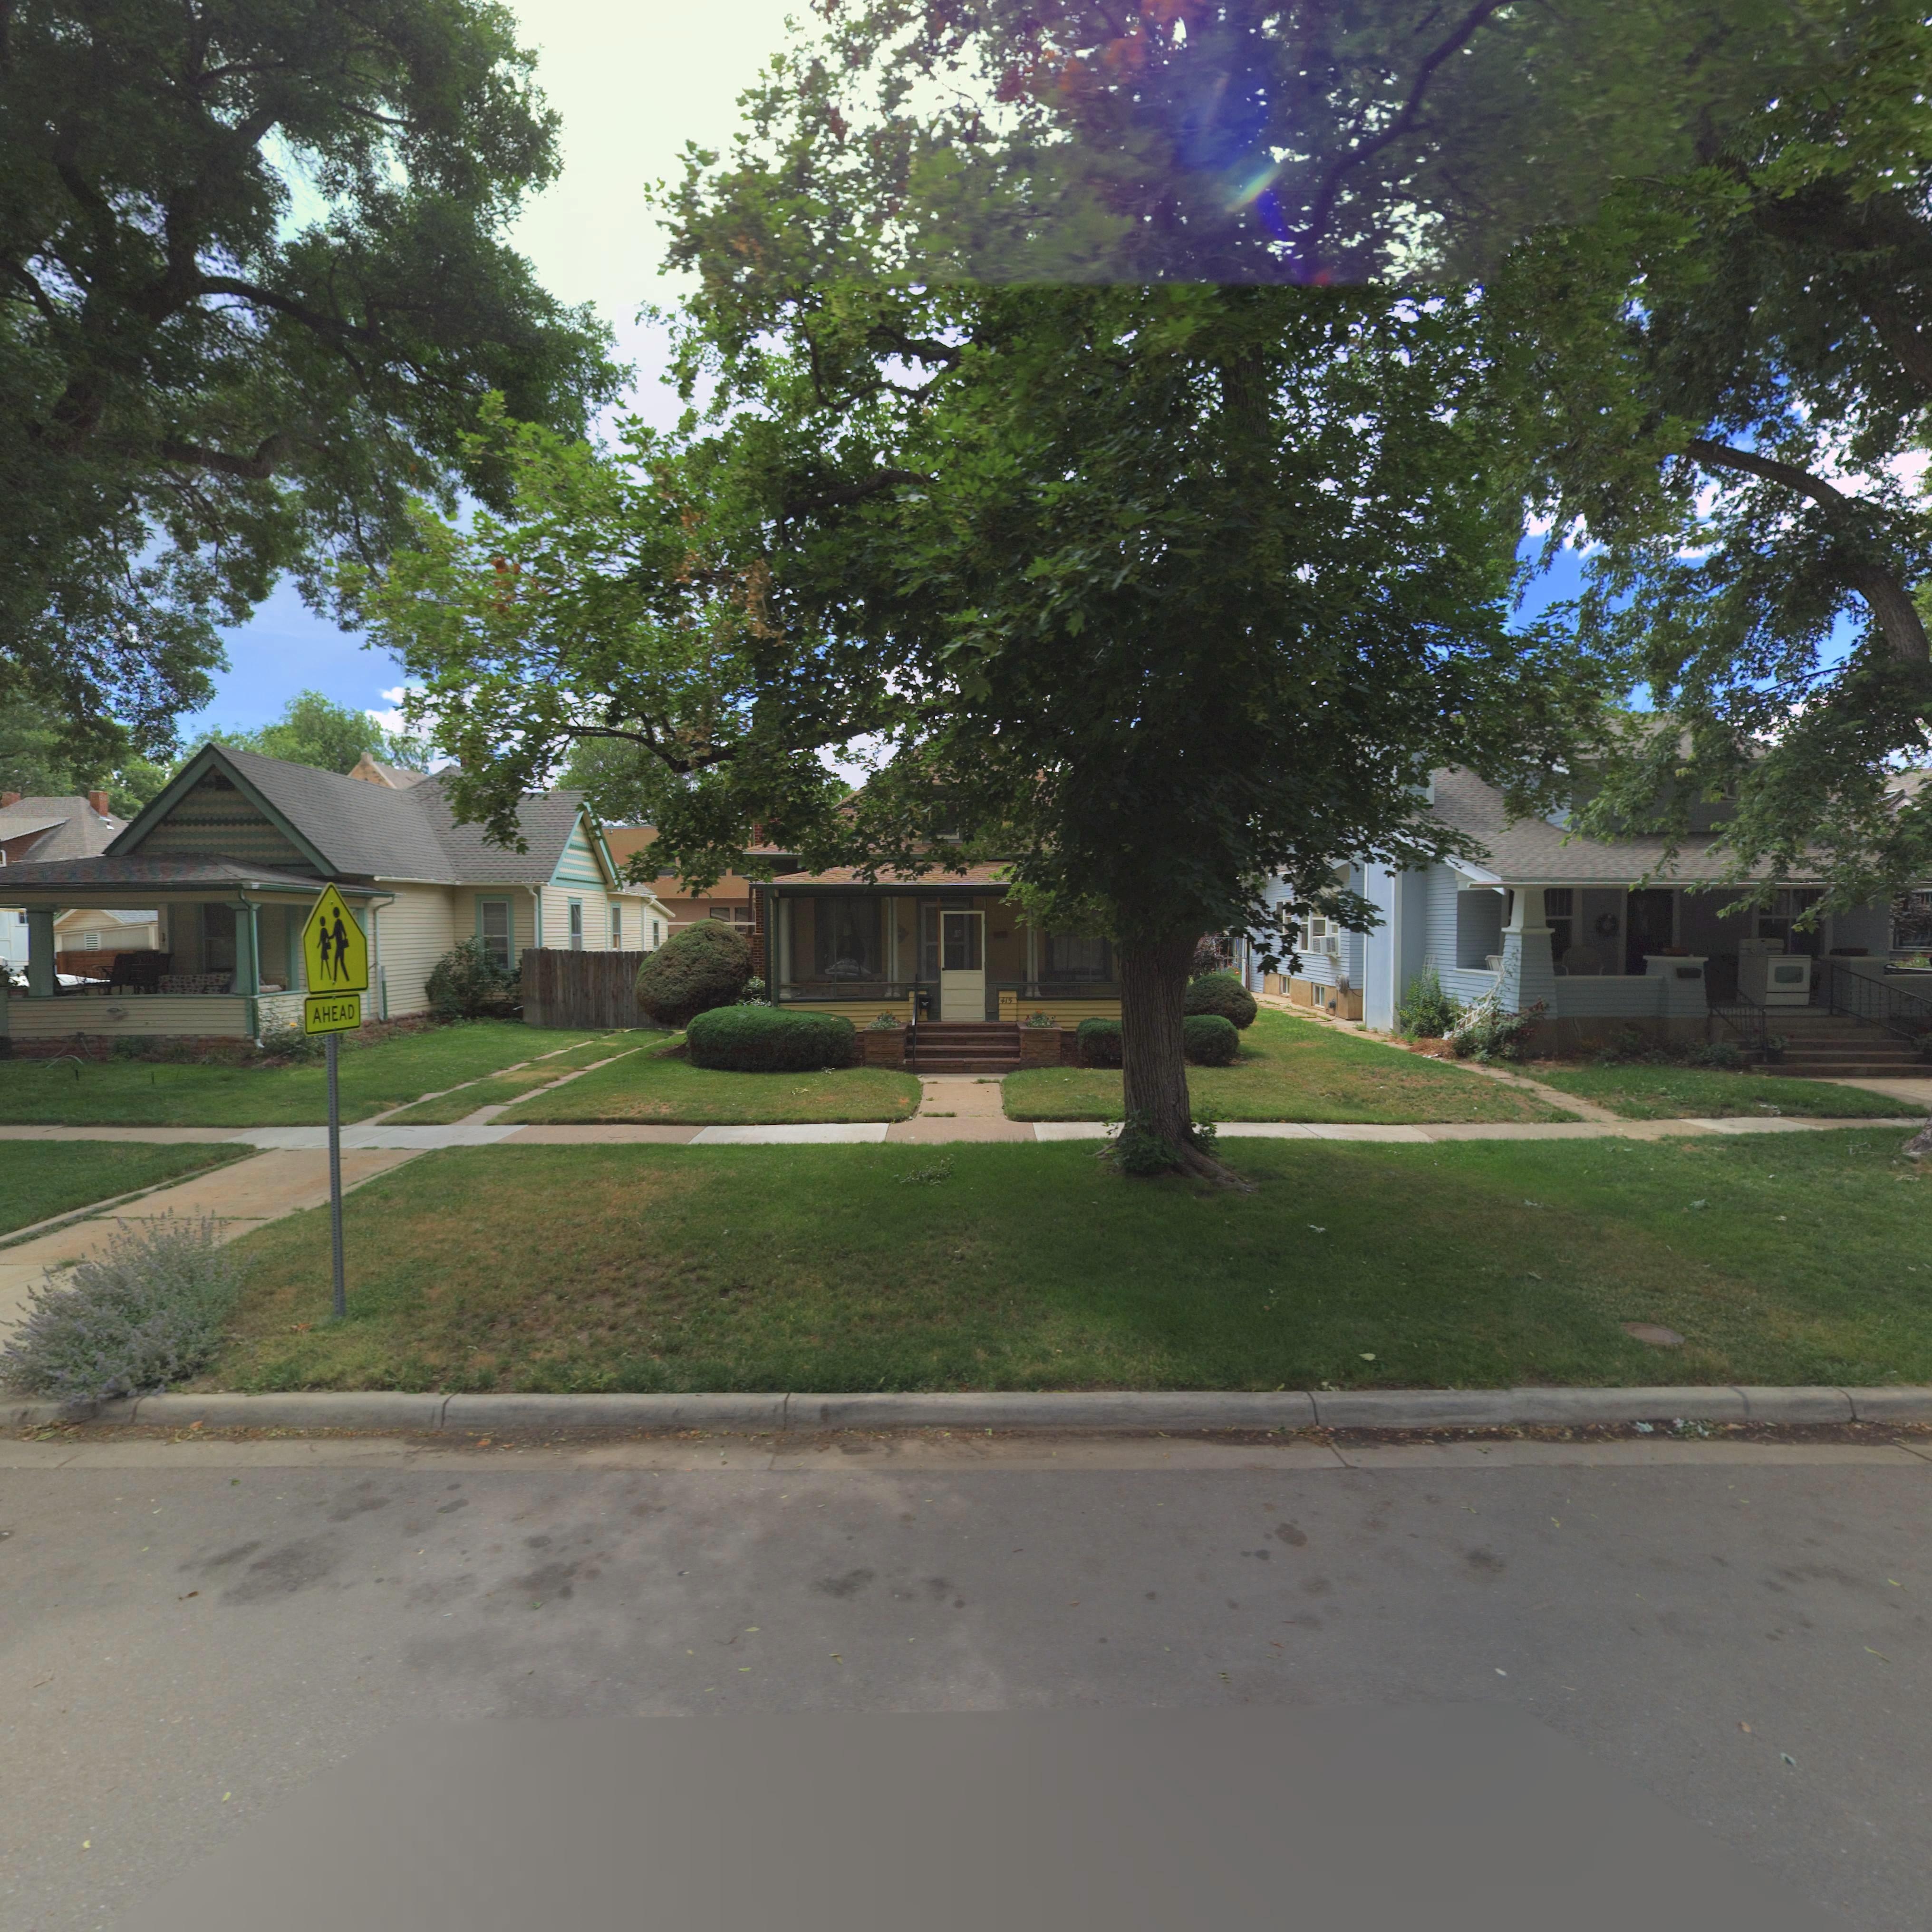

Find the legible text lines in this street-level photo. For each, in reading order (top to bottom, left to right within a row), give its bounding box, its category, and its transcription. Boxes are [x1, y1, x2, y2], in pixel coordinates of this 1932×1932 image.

[1000, 997, 1012, 1004] StreetNumber: 415